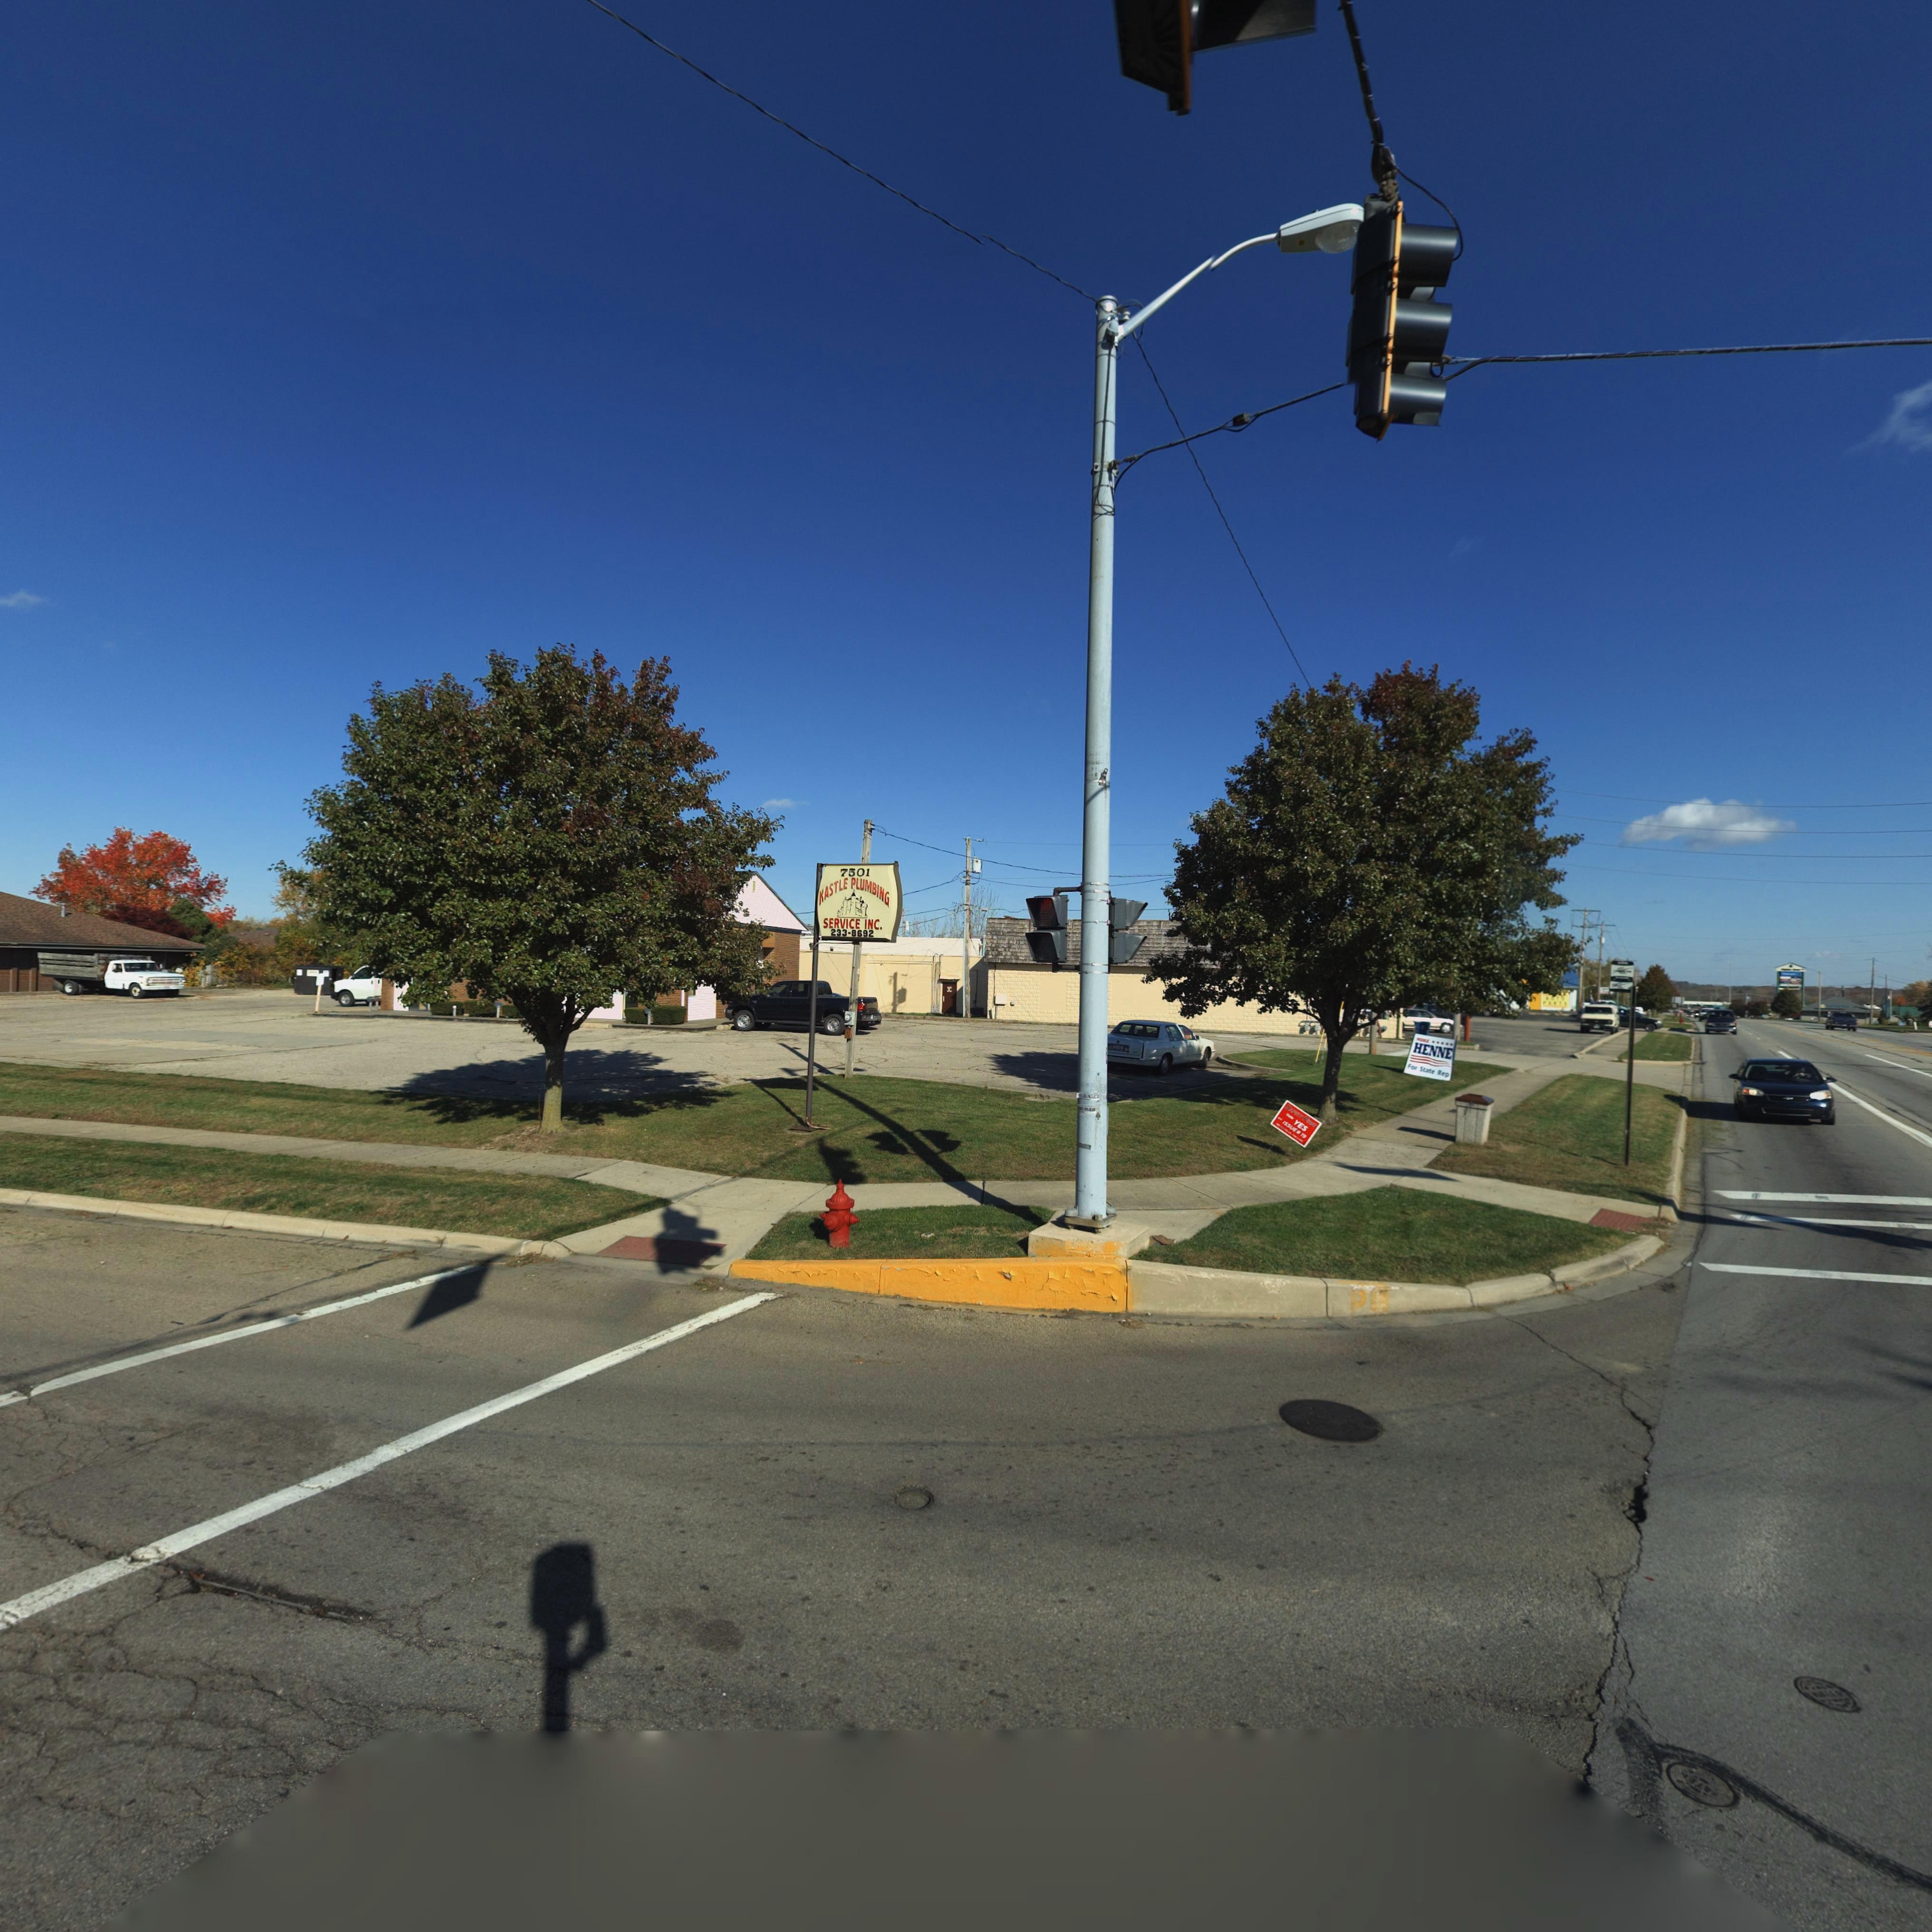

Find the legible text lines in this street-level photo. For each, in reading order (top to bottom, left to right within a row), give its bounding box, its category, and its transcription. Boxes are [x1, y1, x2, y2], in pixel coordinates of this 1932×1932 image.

[840, 868, 871, 877] StreetNumber: 7501
[819, 877, 890, 909] BusinessName: KASTLE PLUMBING
[823, 918, 883, 930] BusinessName: SERVICE INC.